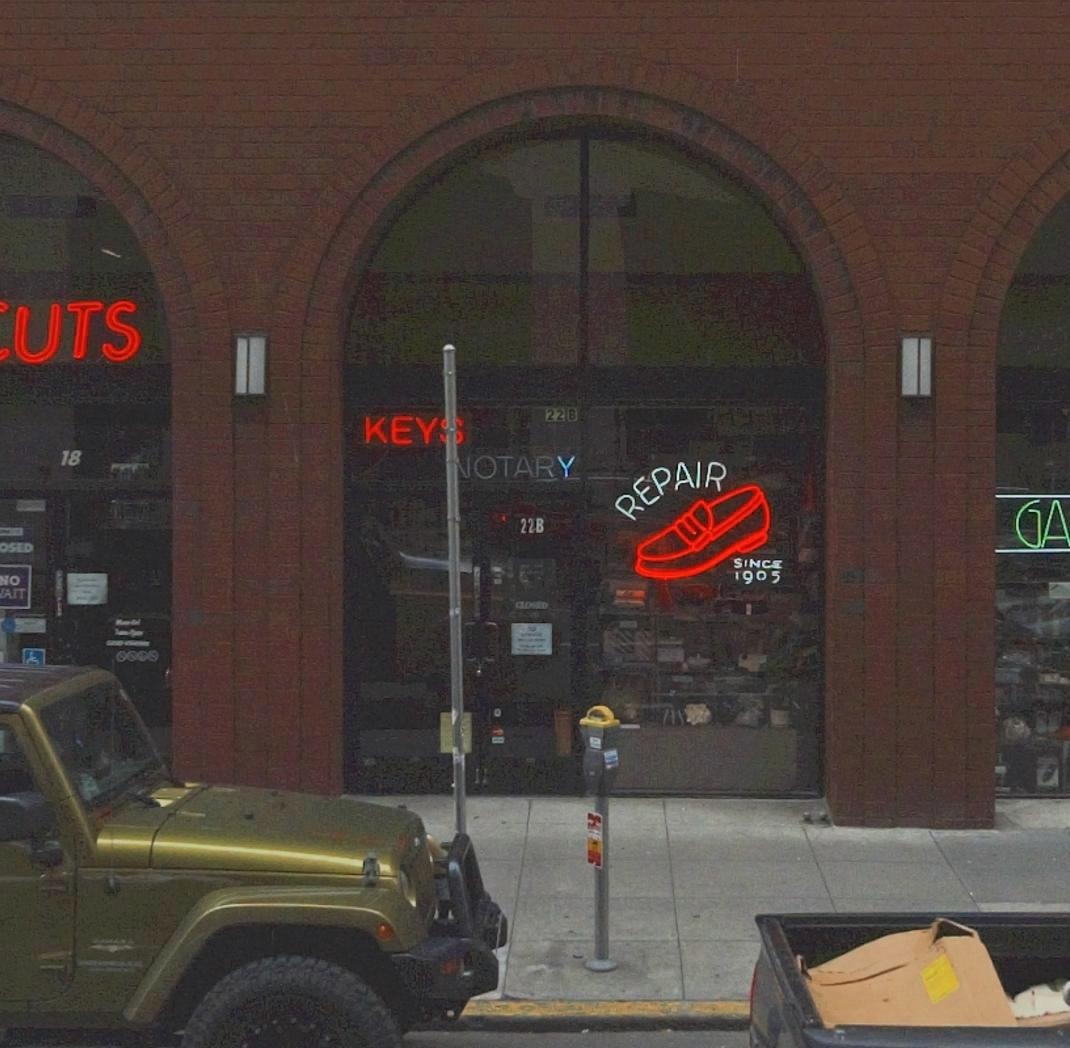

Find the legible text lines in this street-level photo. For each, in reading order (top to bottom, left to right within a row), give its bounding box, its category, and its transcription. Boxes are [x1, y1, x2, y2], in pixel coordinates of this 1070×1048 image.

[11, 299, 145, 367] BusinessName: UTS
[546, 407, 577, 421] StreetNumber: 22 B
[364, 415, 467, 446] None: KEY*
[58, 448, 84, 468] StreetNumber: 18
[472, 454, 578, 481] None: OTARY
[610, 459, 730, 523] None: REPAIR
[519, 516, 545, 535] StreetNumber: 22B
[1013, 497, 1069, 550] None: GA
[8, 541, 37, 554] None: SED
[732, 555, 785, 570] None: SINCE
[9, 574, 21, 587] None: O
[733, 569, 783, 586] None: 1905
[1, 586, 29, 600] None: AIT
[514, 599, 549, 610] None: CLOSED